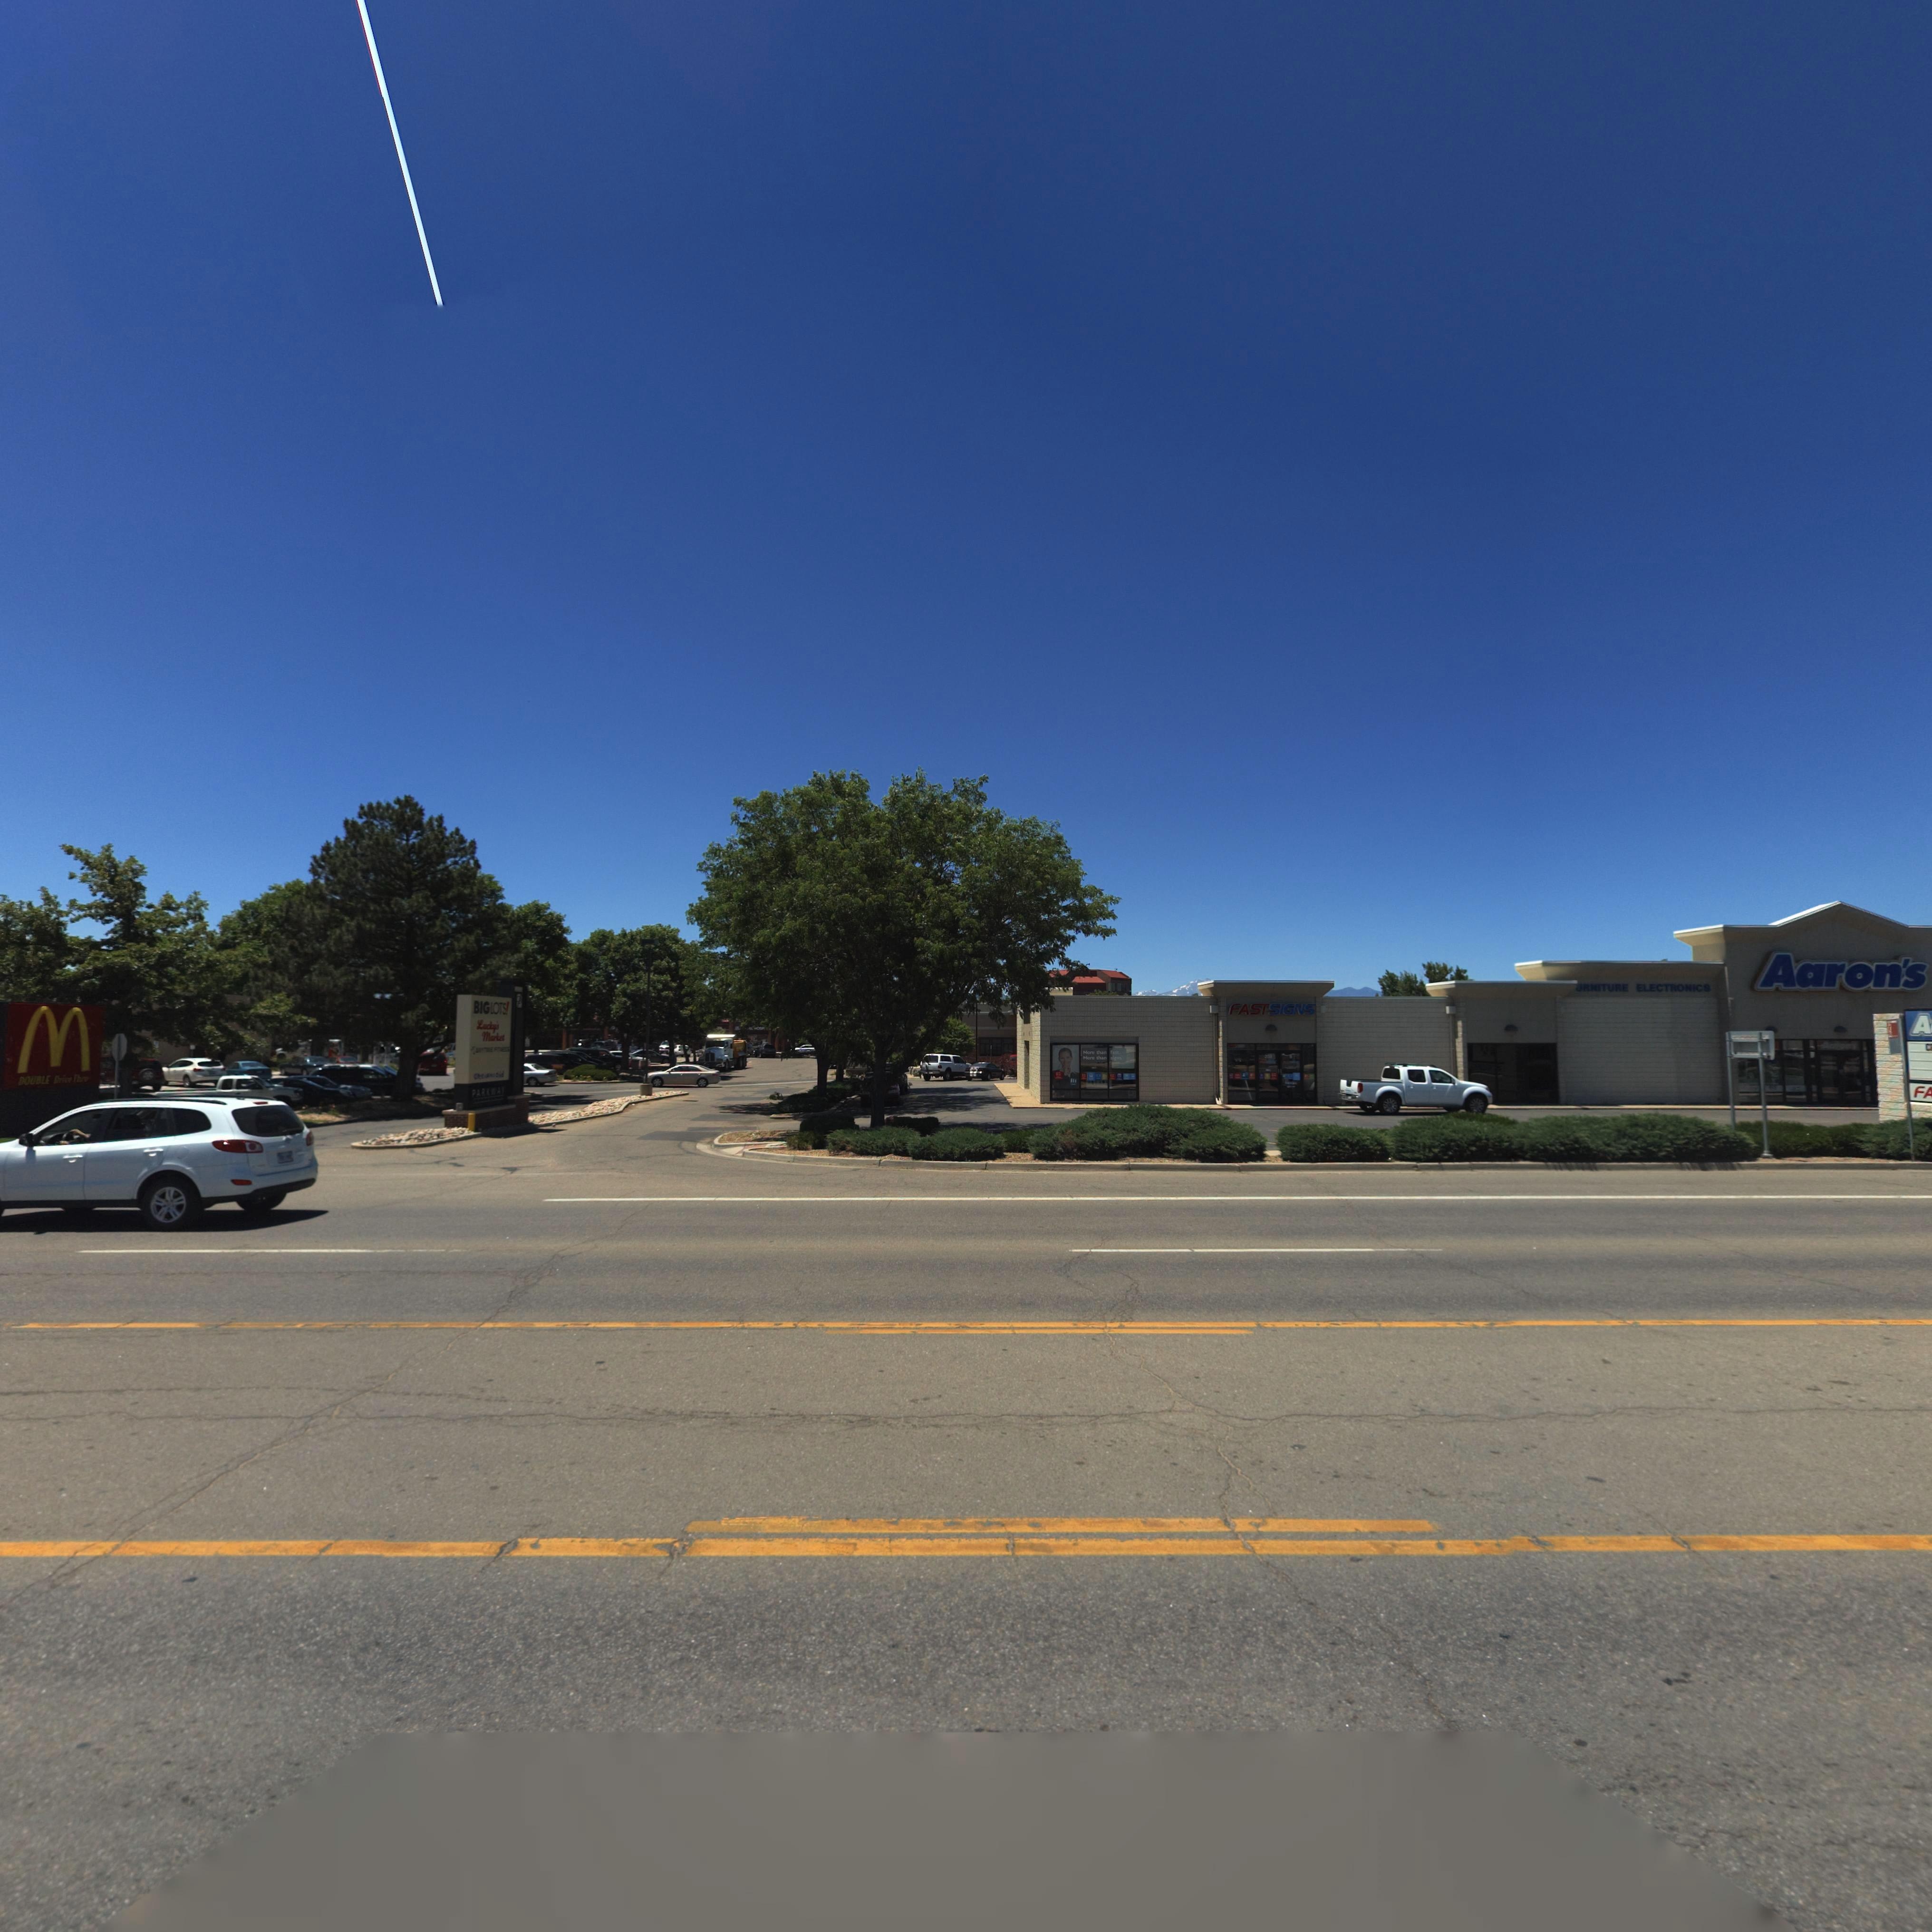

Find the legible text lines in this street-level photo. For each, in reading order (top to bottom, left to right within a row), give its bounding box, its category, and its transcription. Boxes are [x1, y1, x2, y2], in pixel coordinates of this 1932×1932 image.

[1759, 954, 1928, 988] BusinessName: Aaron's
[473, 1000, 510, 1015] BusinessName: BIGLOTS*
[1228, 1003, 1315, 1015] BusinessName: FAST SIGNS
[476, 1019, 499, 1033] BusinessName: Lucky*s
[1911, 1014, 1931, 1034] BusinessName: A
[482, 1031, 506, 1041] BusinessName: Market
[475, 1046, 510, 1053] BusinessName: A****ME FITNESS
[1264, 1054, 1272, 1058] StreetNumber: 20*
[1913, 1085, 1925, 1098] BusinessName: F